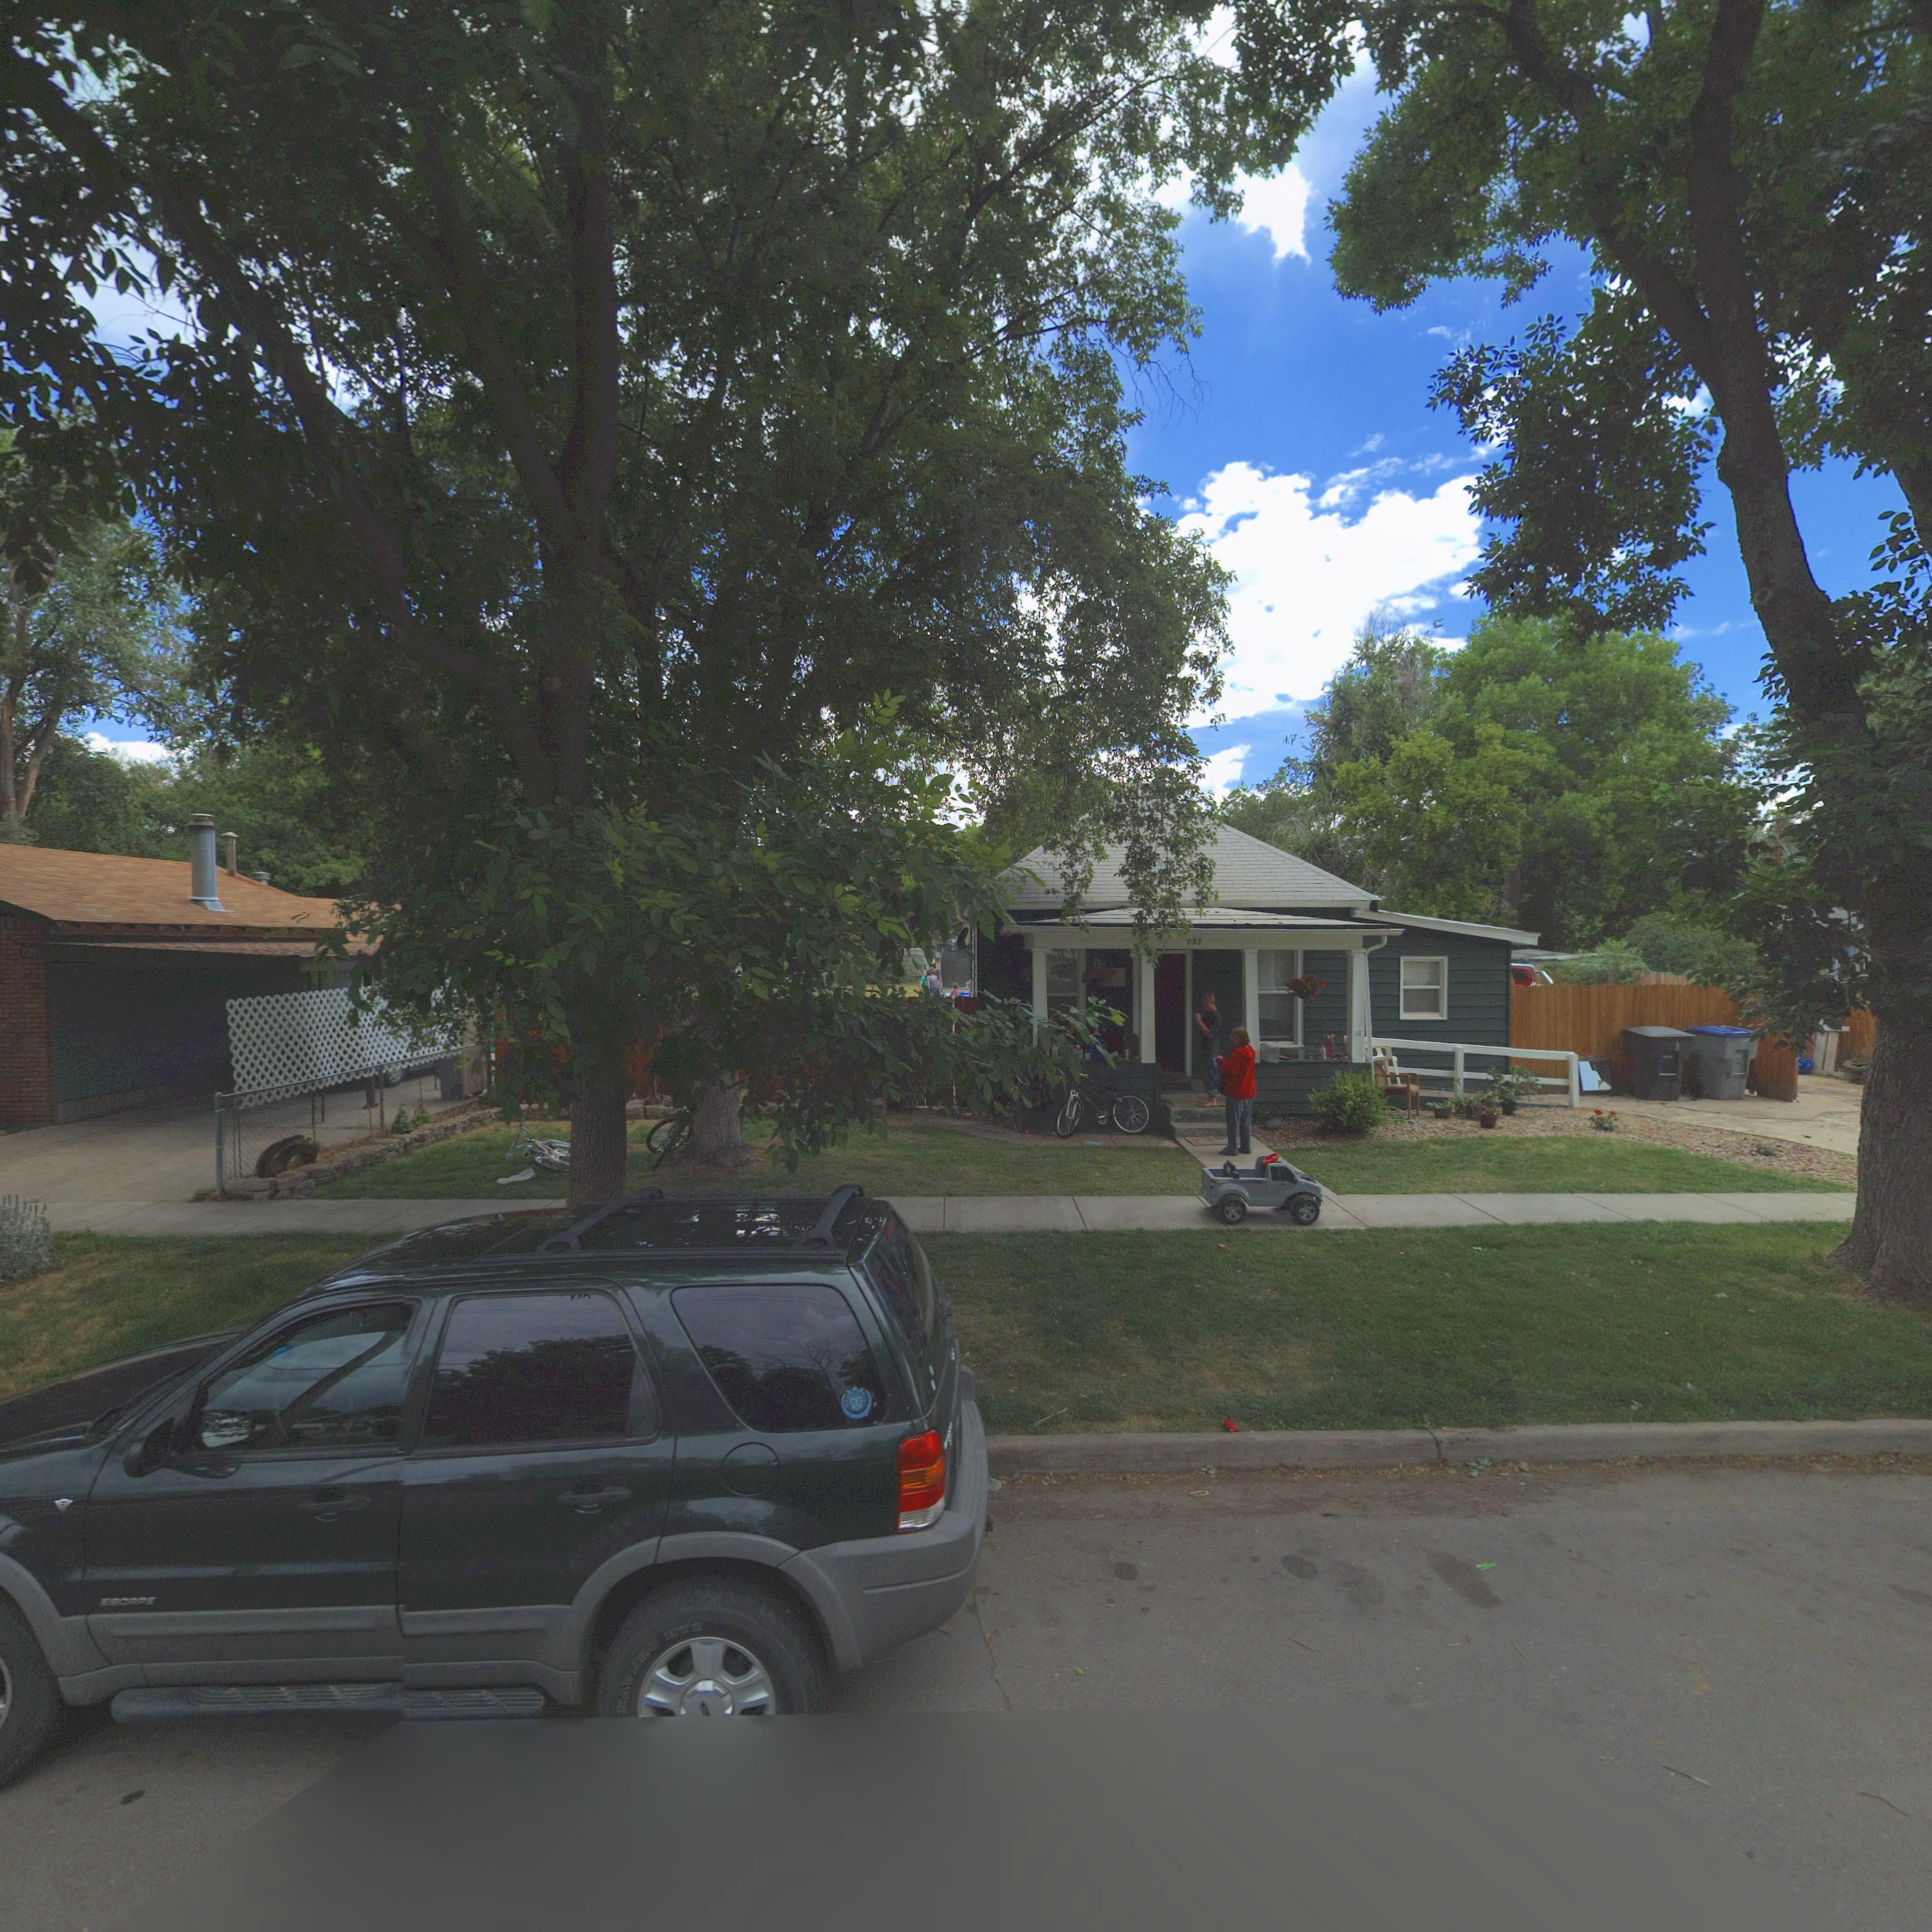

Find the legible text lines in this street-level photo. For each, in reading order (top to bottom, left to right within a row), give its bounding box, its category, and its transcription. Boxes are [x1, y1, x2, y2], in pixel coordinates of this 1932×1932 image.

[1186, 937, 1202, 945] StreetNumber: 737